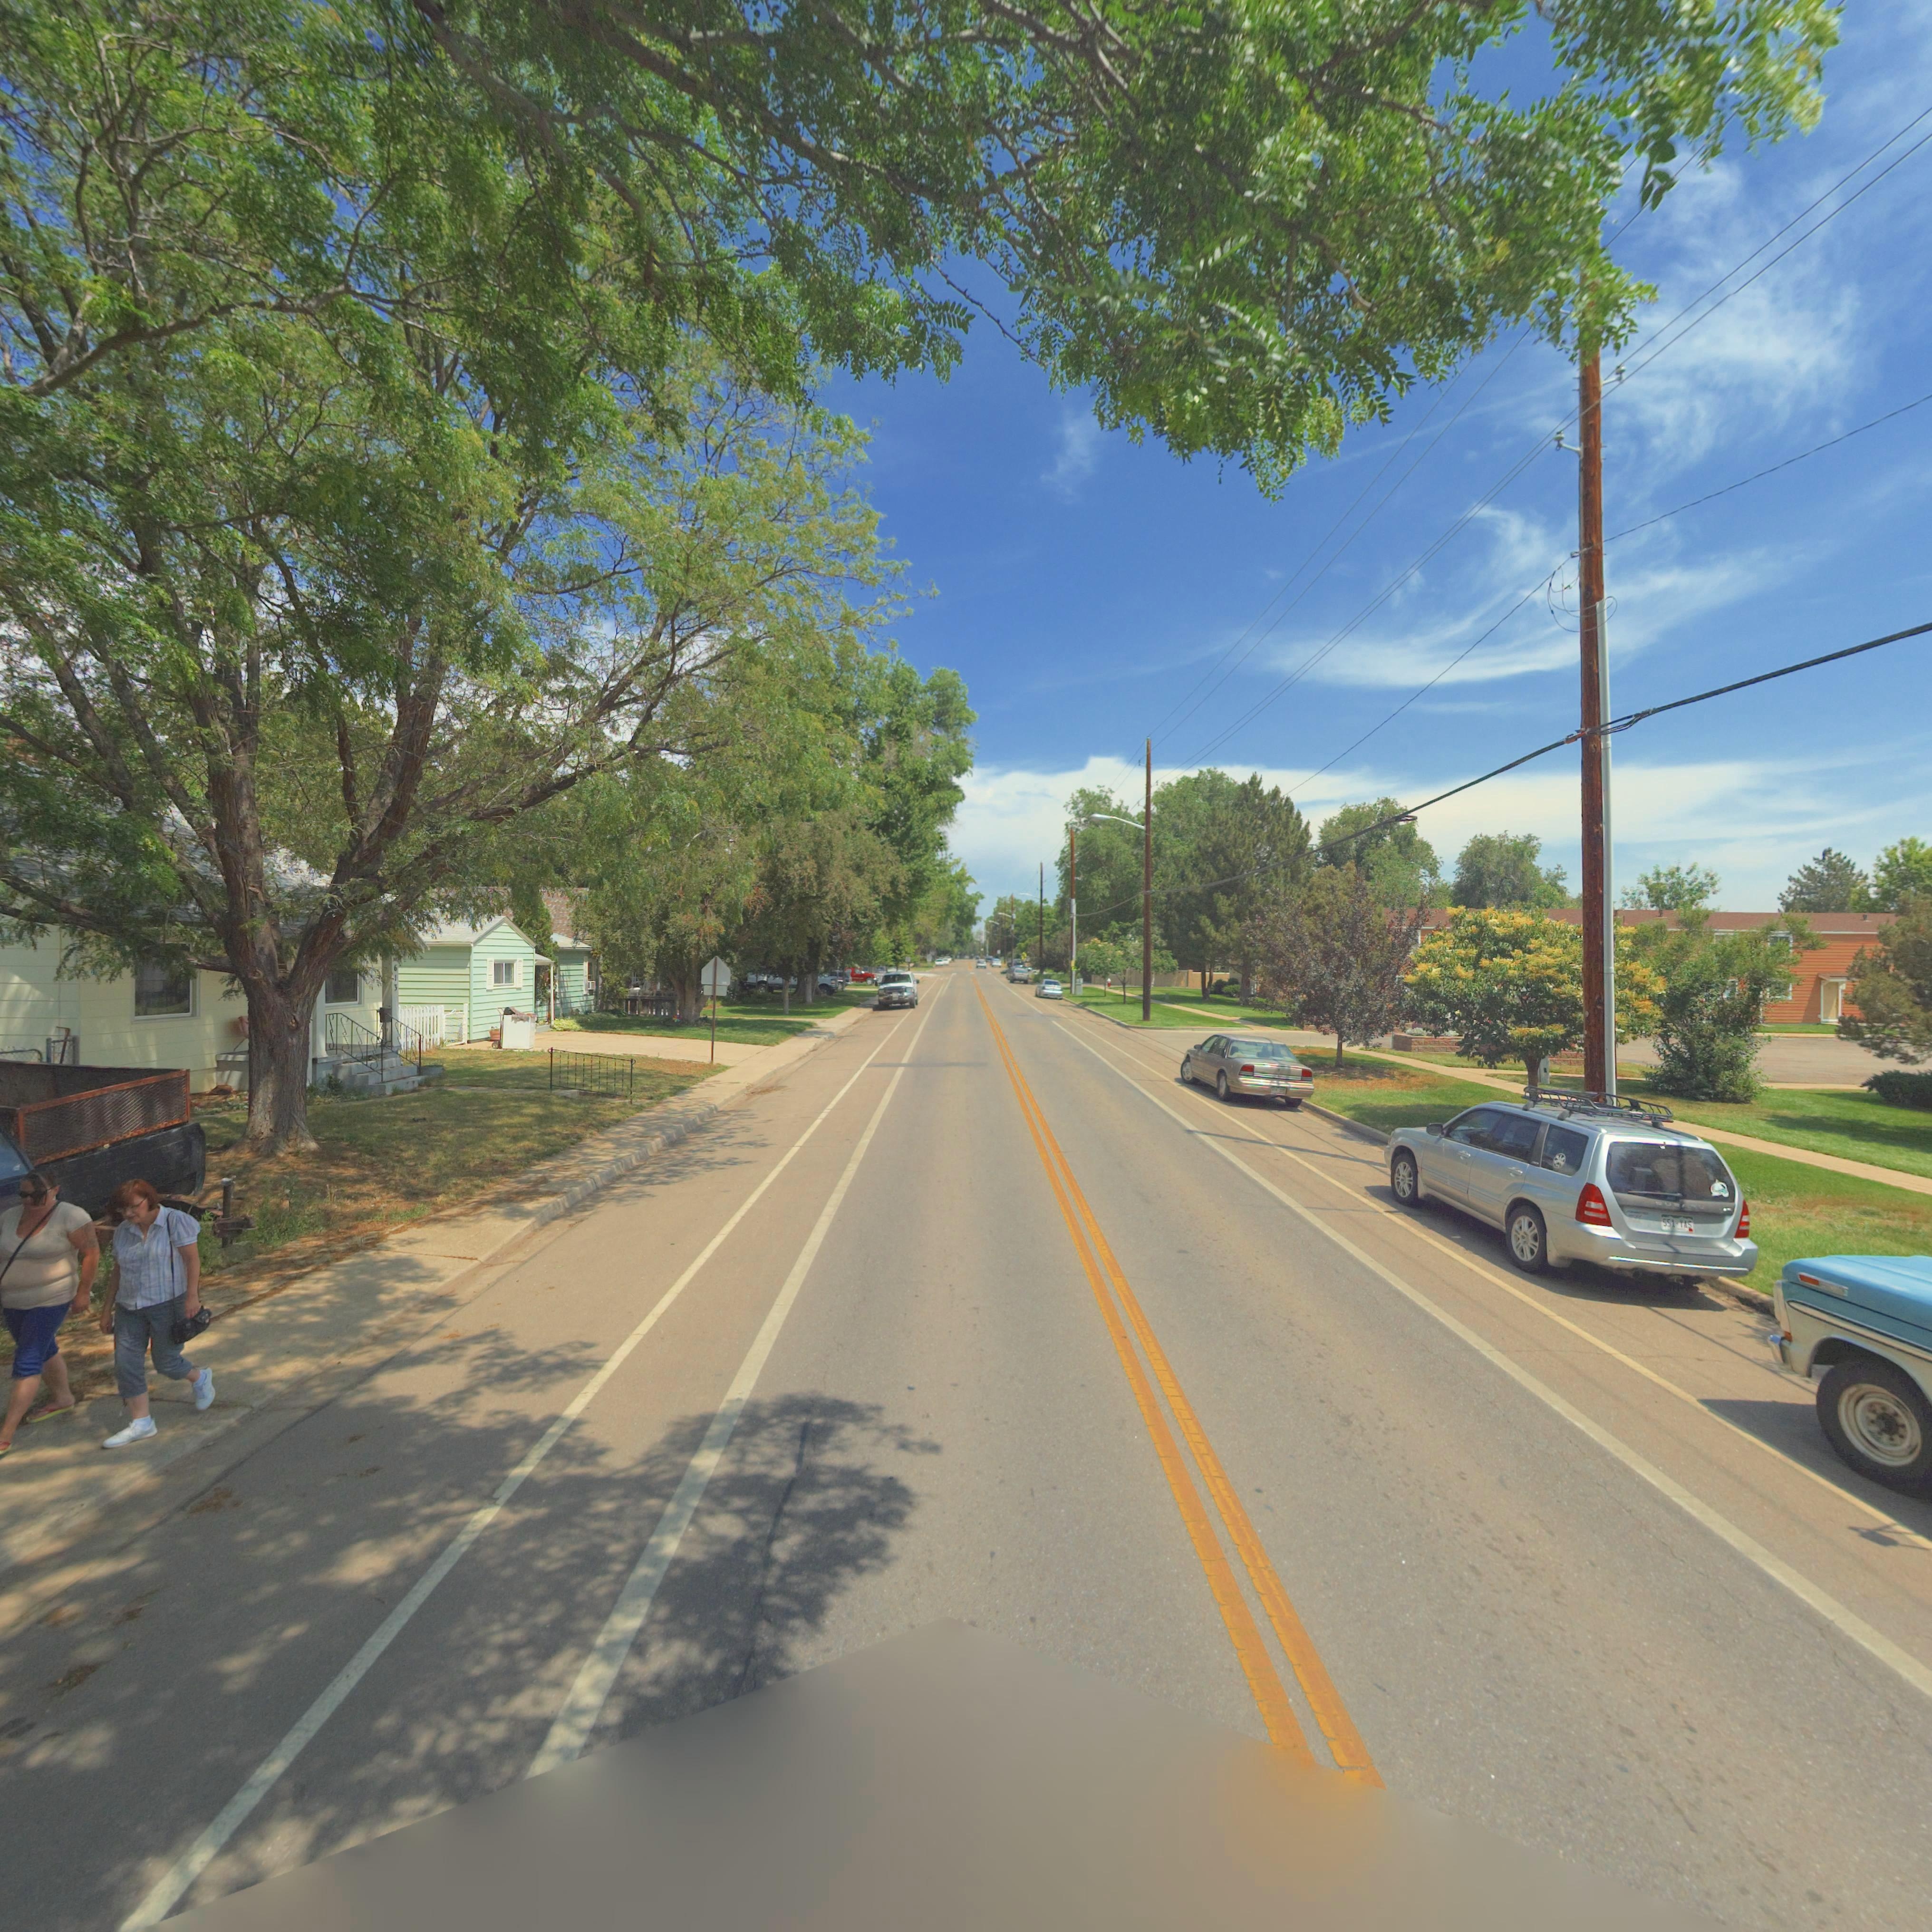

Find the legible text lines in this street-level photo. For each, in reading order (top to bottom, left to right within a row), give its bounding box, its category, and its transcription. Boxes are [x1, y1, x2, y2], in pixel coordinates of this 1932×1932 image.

[394, 964, 397, 991] StreetNumber: 613